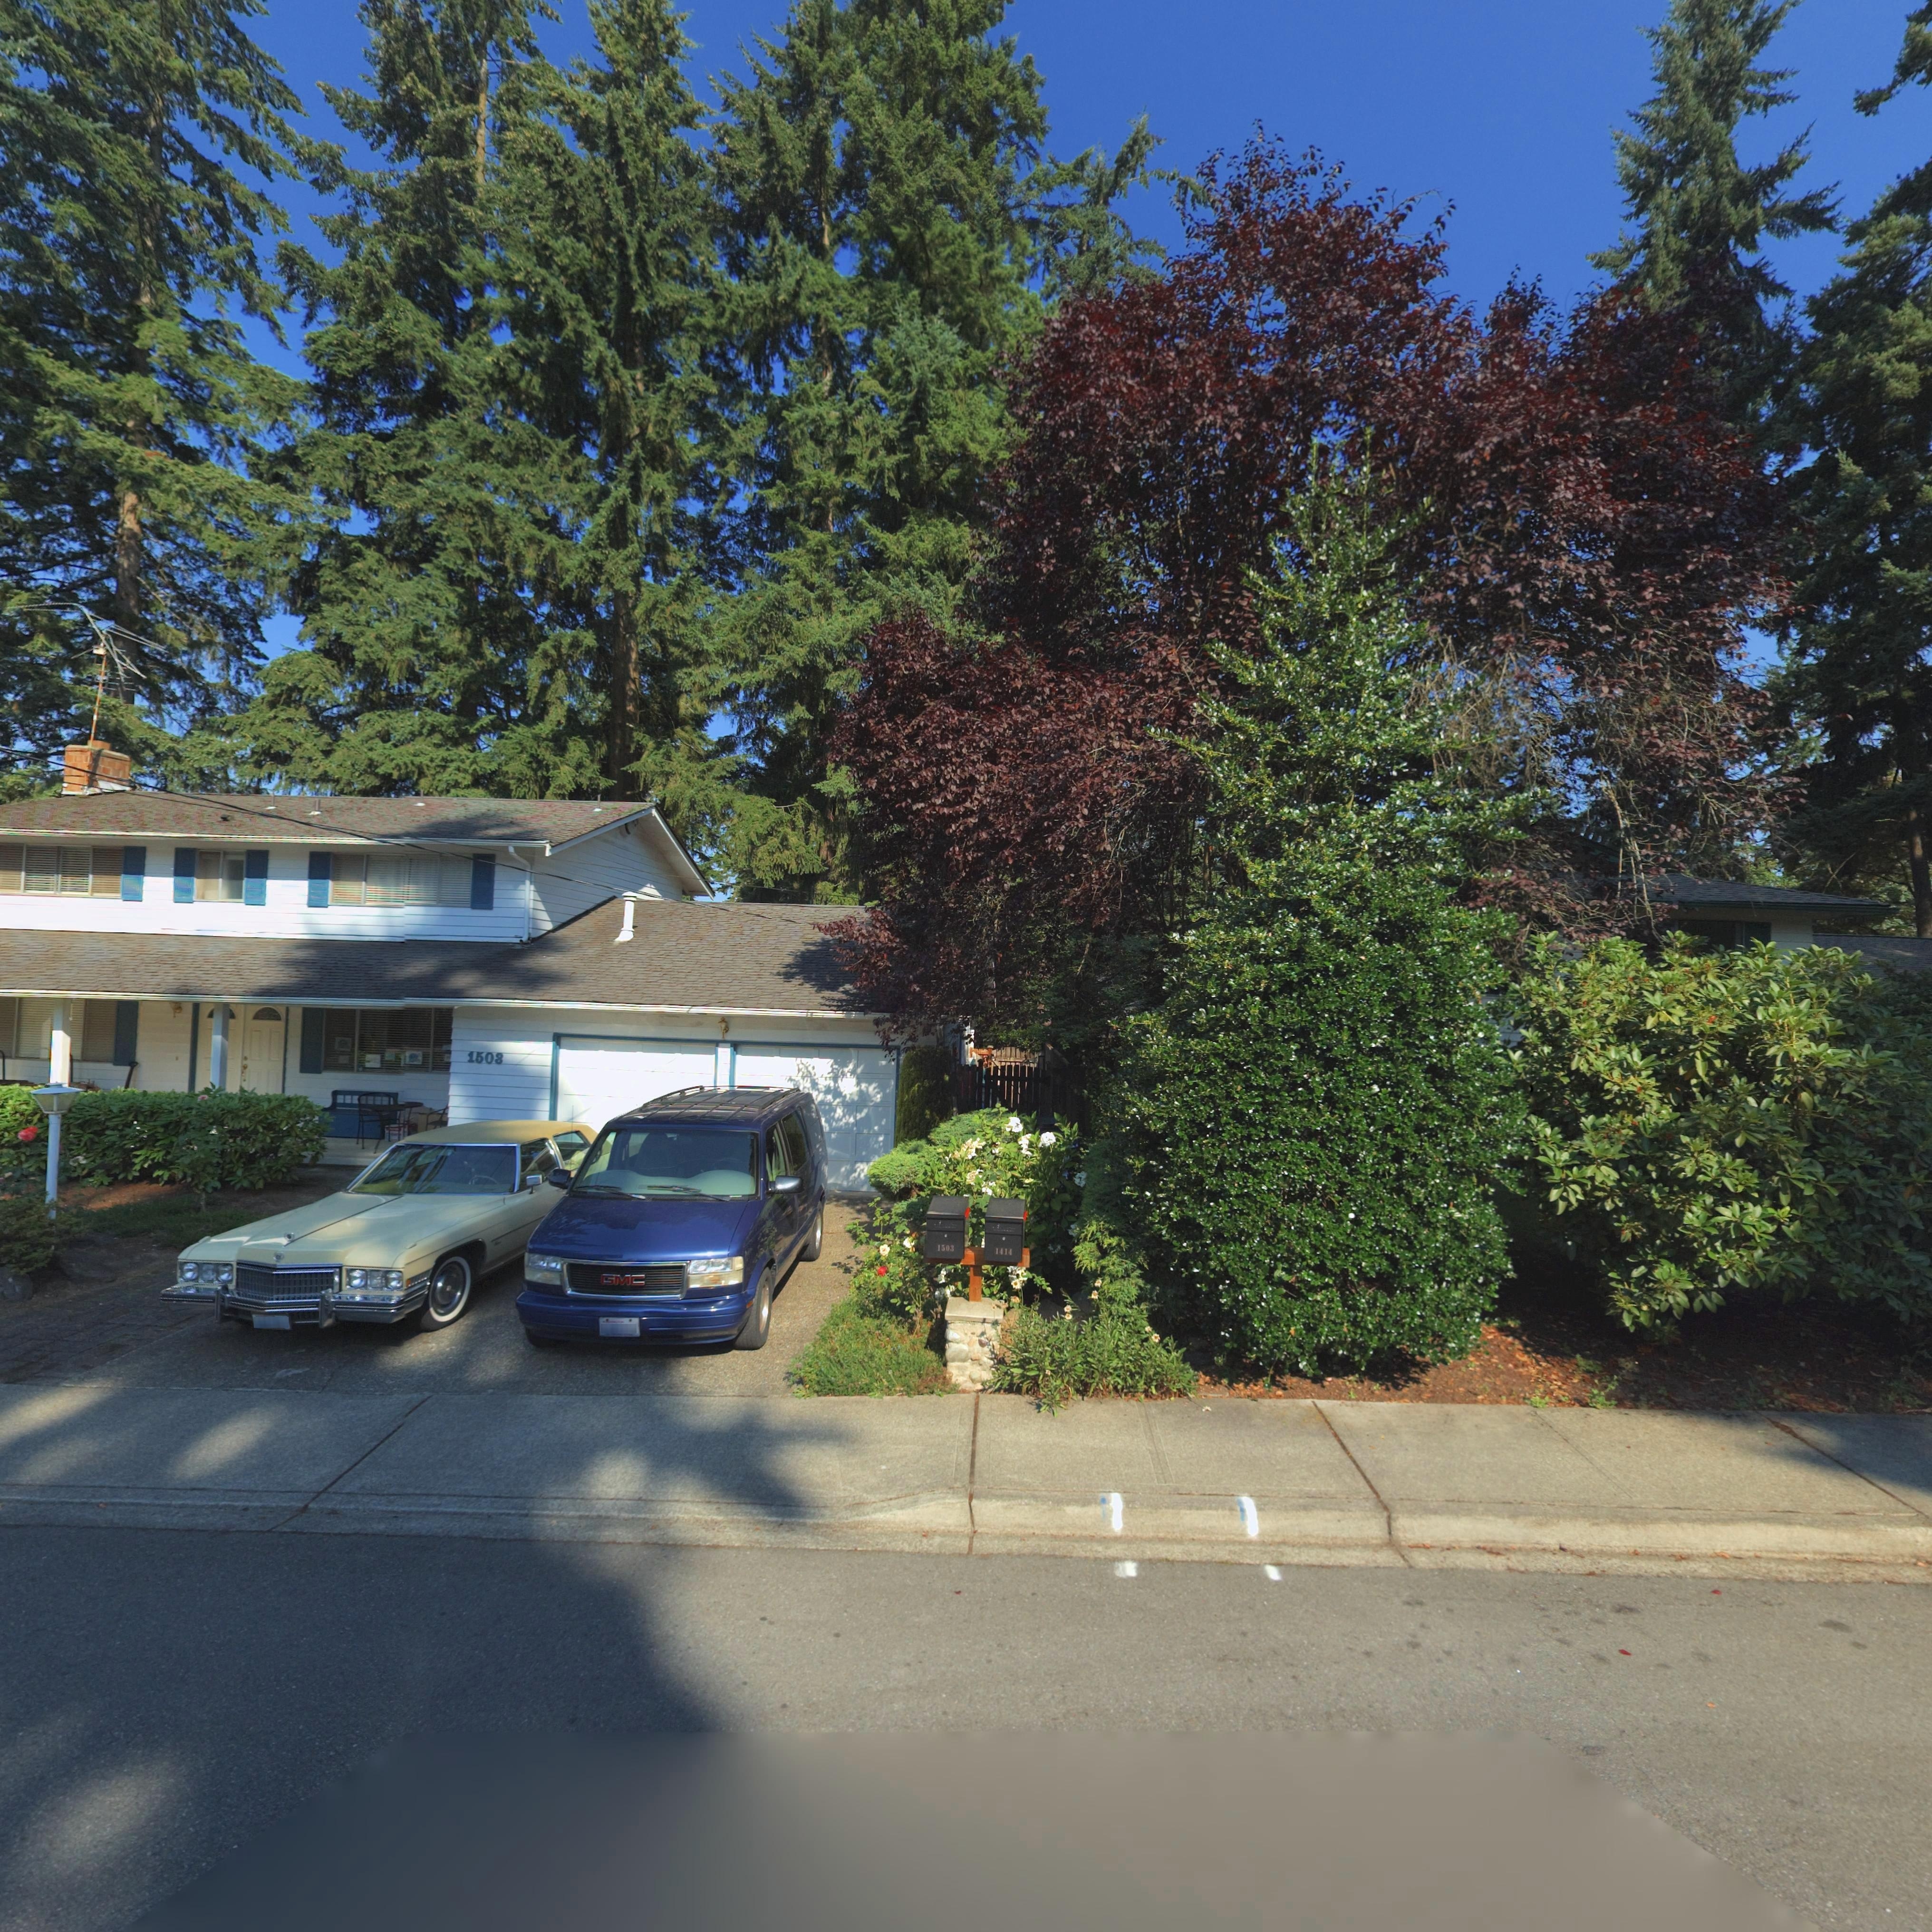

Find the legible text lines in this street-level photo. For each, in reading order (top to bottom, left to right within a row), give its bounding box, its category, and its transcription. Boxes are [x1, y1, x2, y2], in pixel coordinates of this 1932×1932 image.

[466, 1051, 503, 1064] StreetNumber: 1503
[937, 1244, 954, 1252] StreetNumber: 1503
[995, 1247, 1012, 1256] StreetNumber: 1414